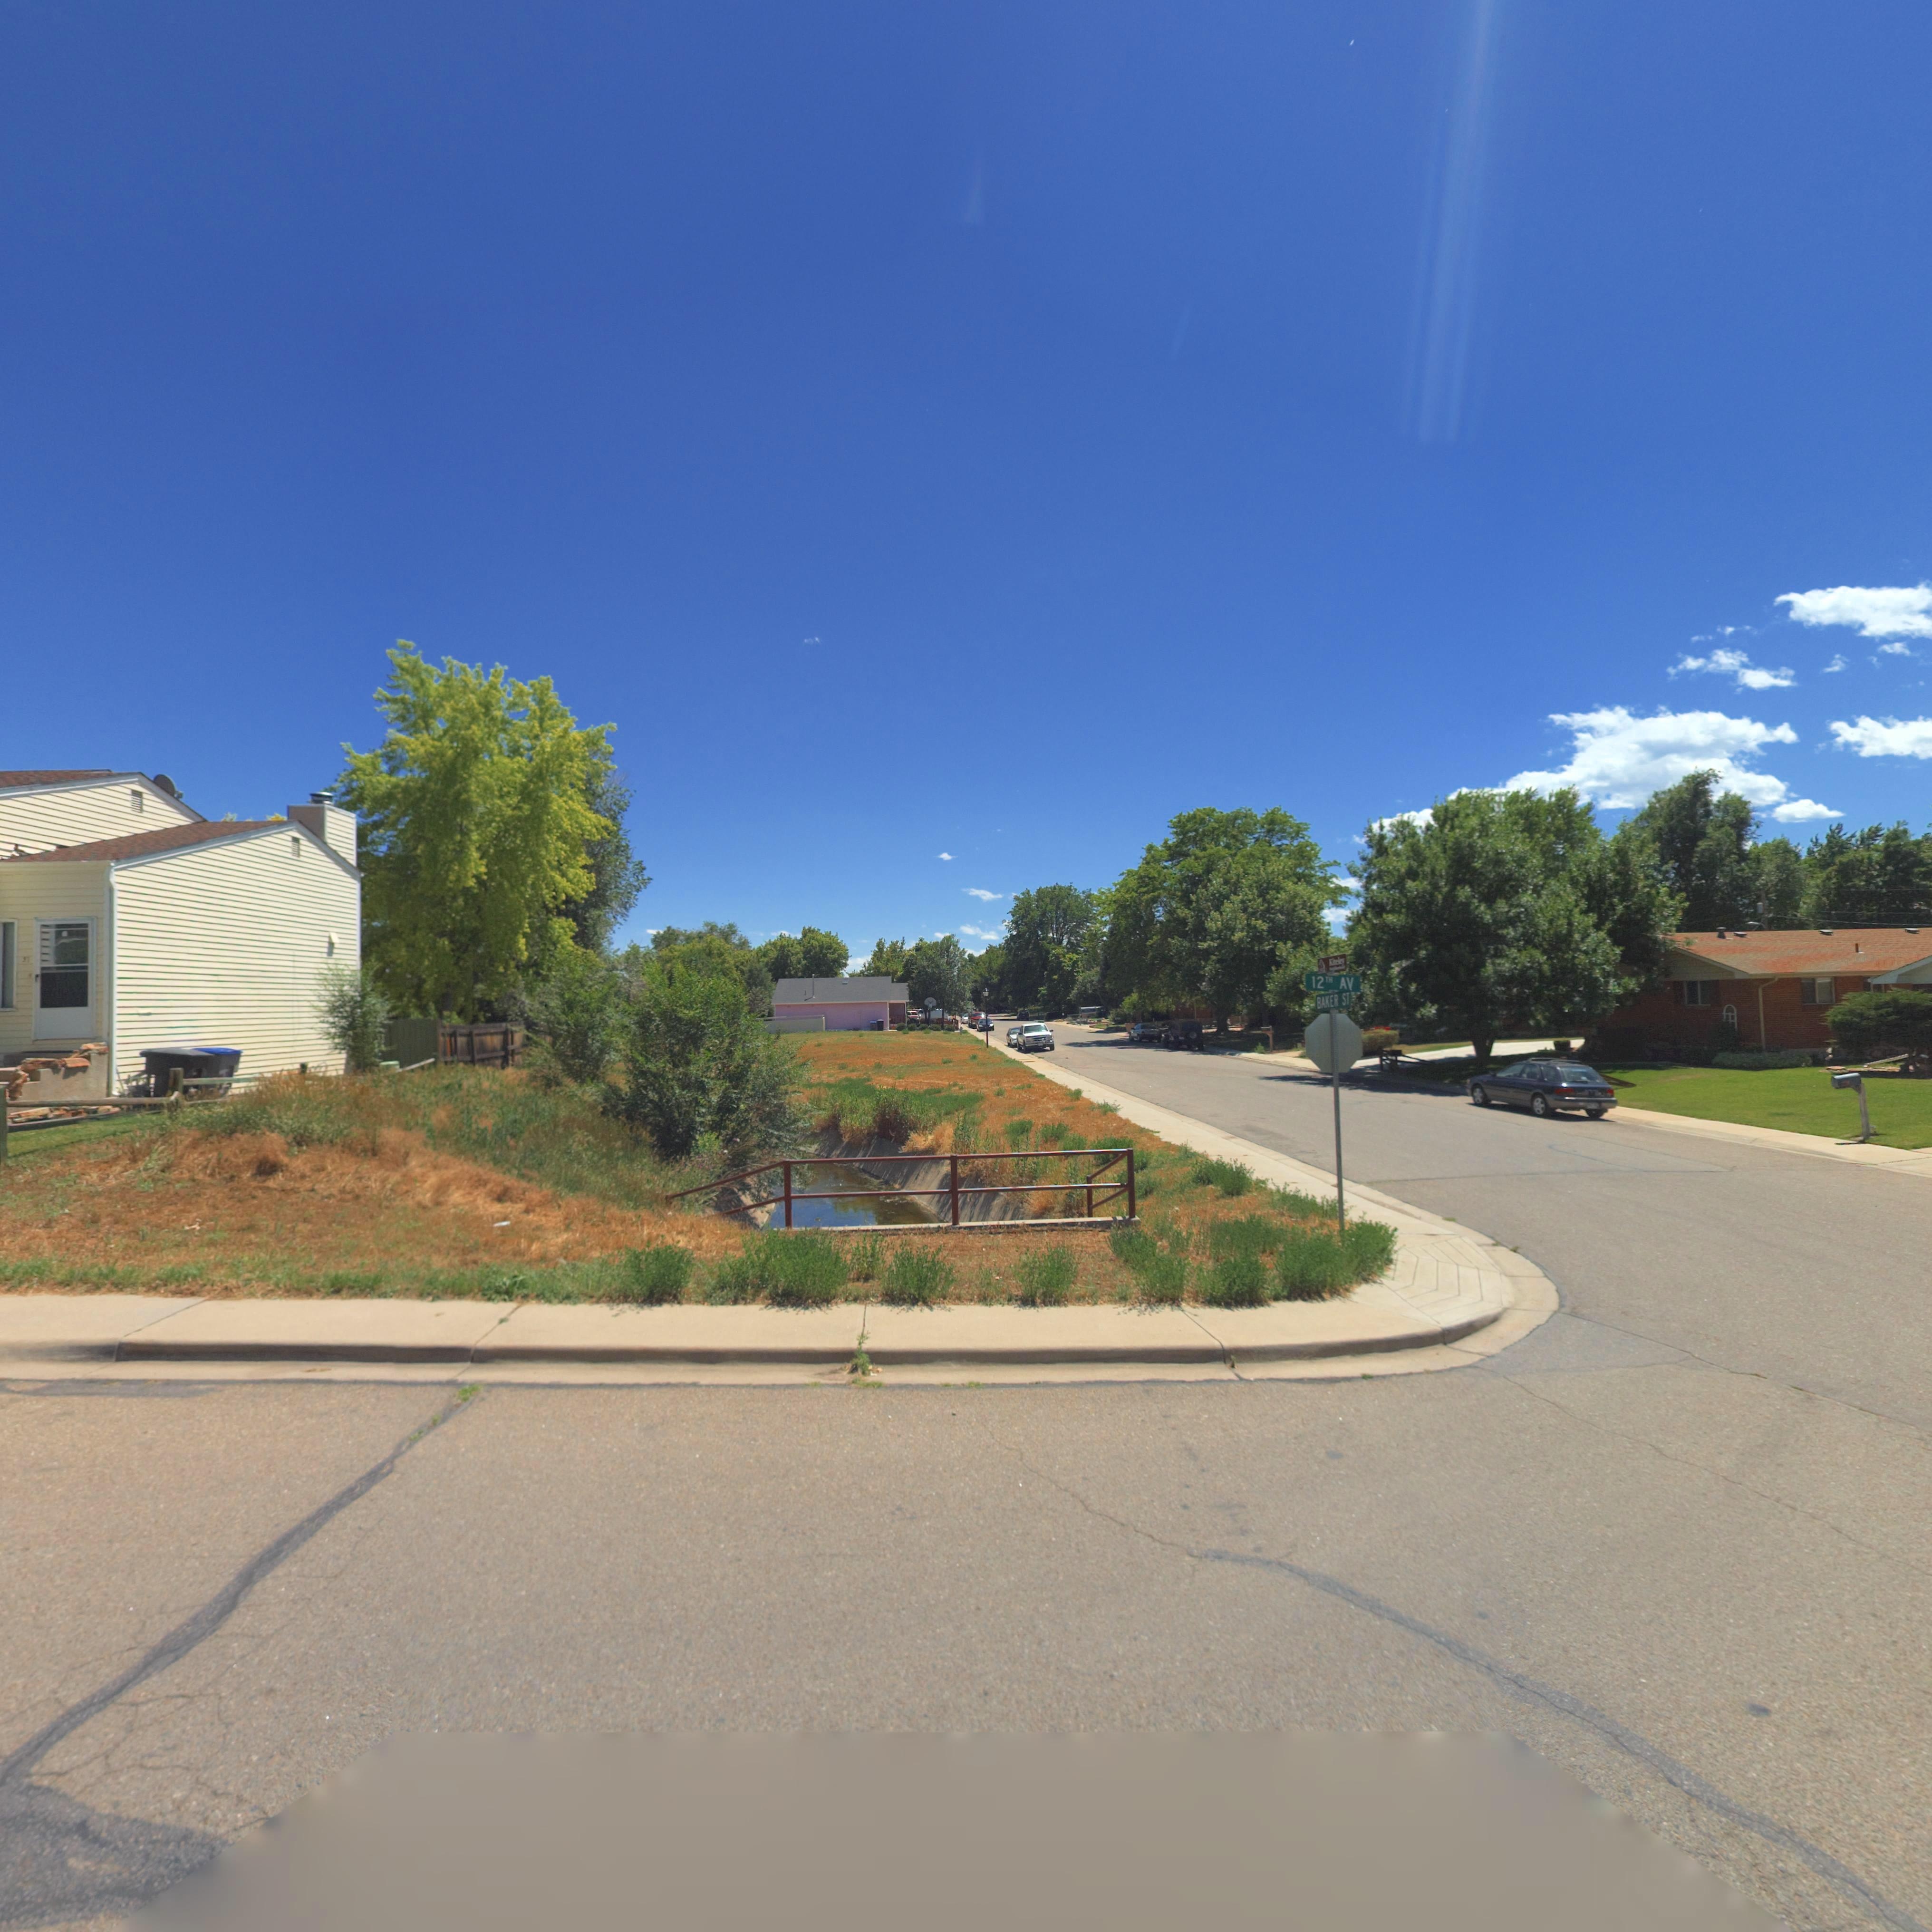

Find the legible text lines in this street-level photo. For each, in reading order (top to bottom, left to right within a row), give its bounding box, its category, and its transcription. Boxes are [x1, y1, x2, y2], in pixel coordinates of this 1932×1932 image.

[21, 956, 30, 962] StreetNumber: 5*
[1311, 975, 1354, 991] StreetName: 12TH AV
[1316, 992, 1350, 1009] StreetName: BAKER ST